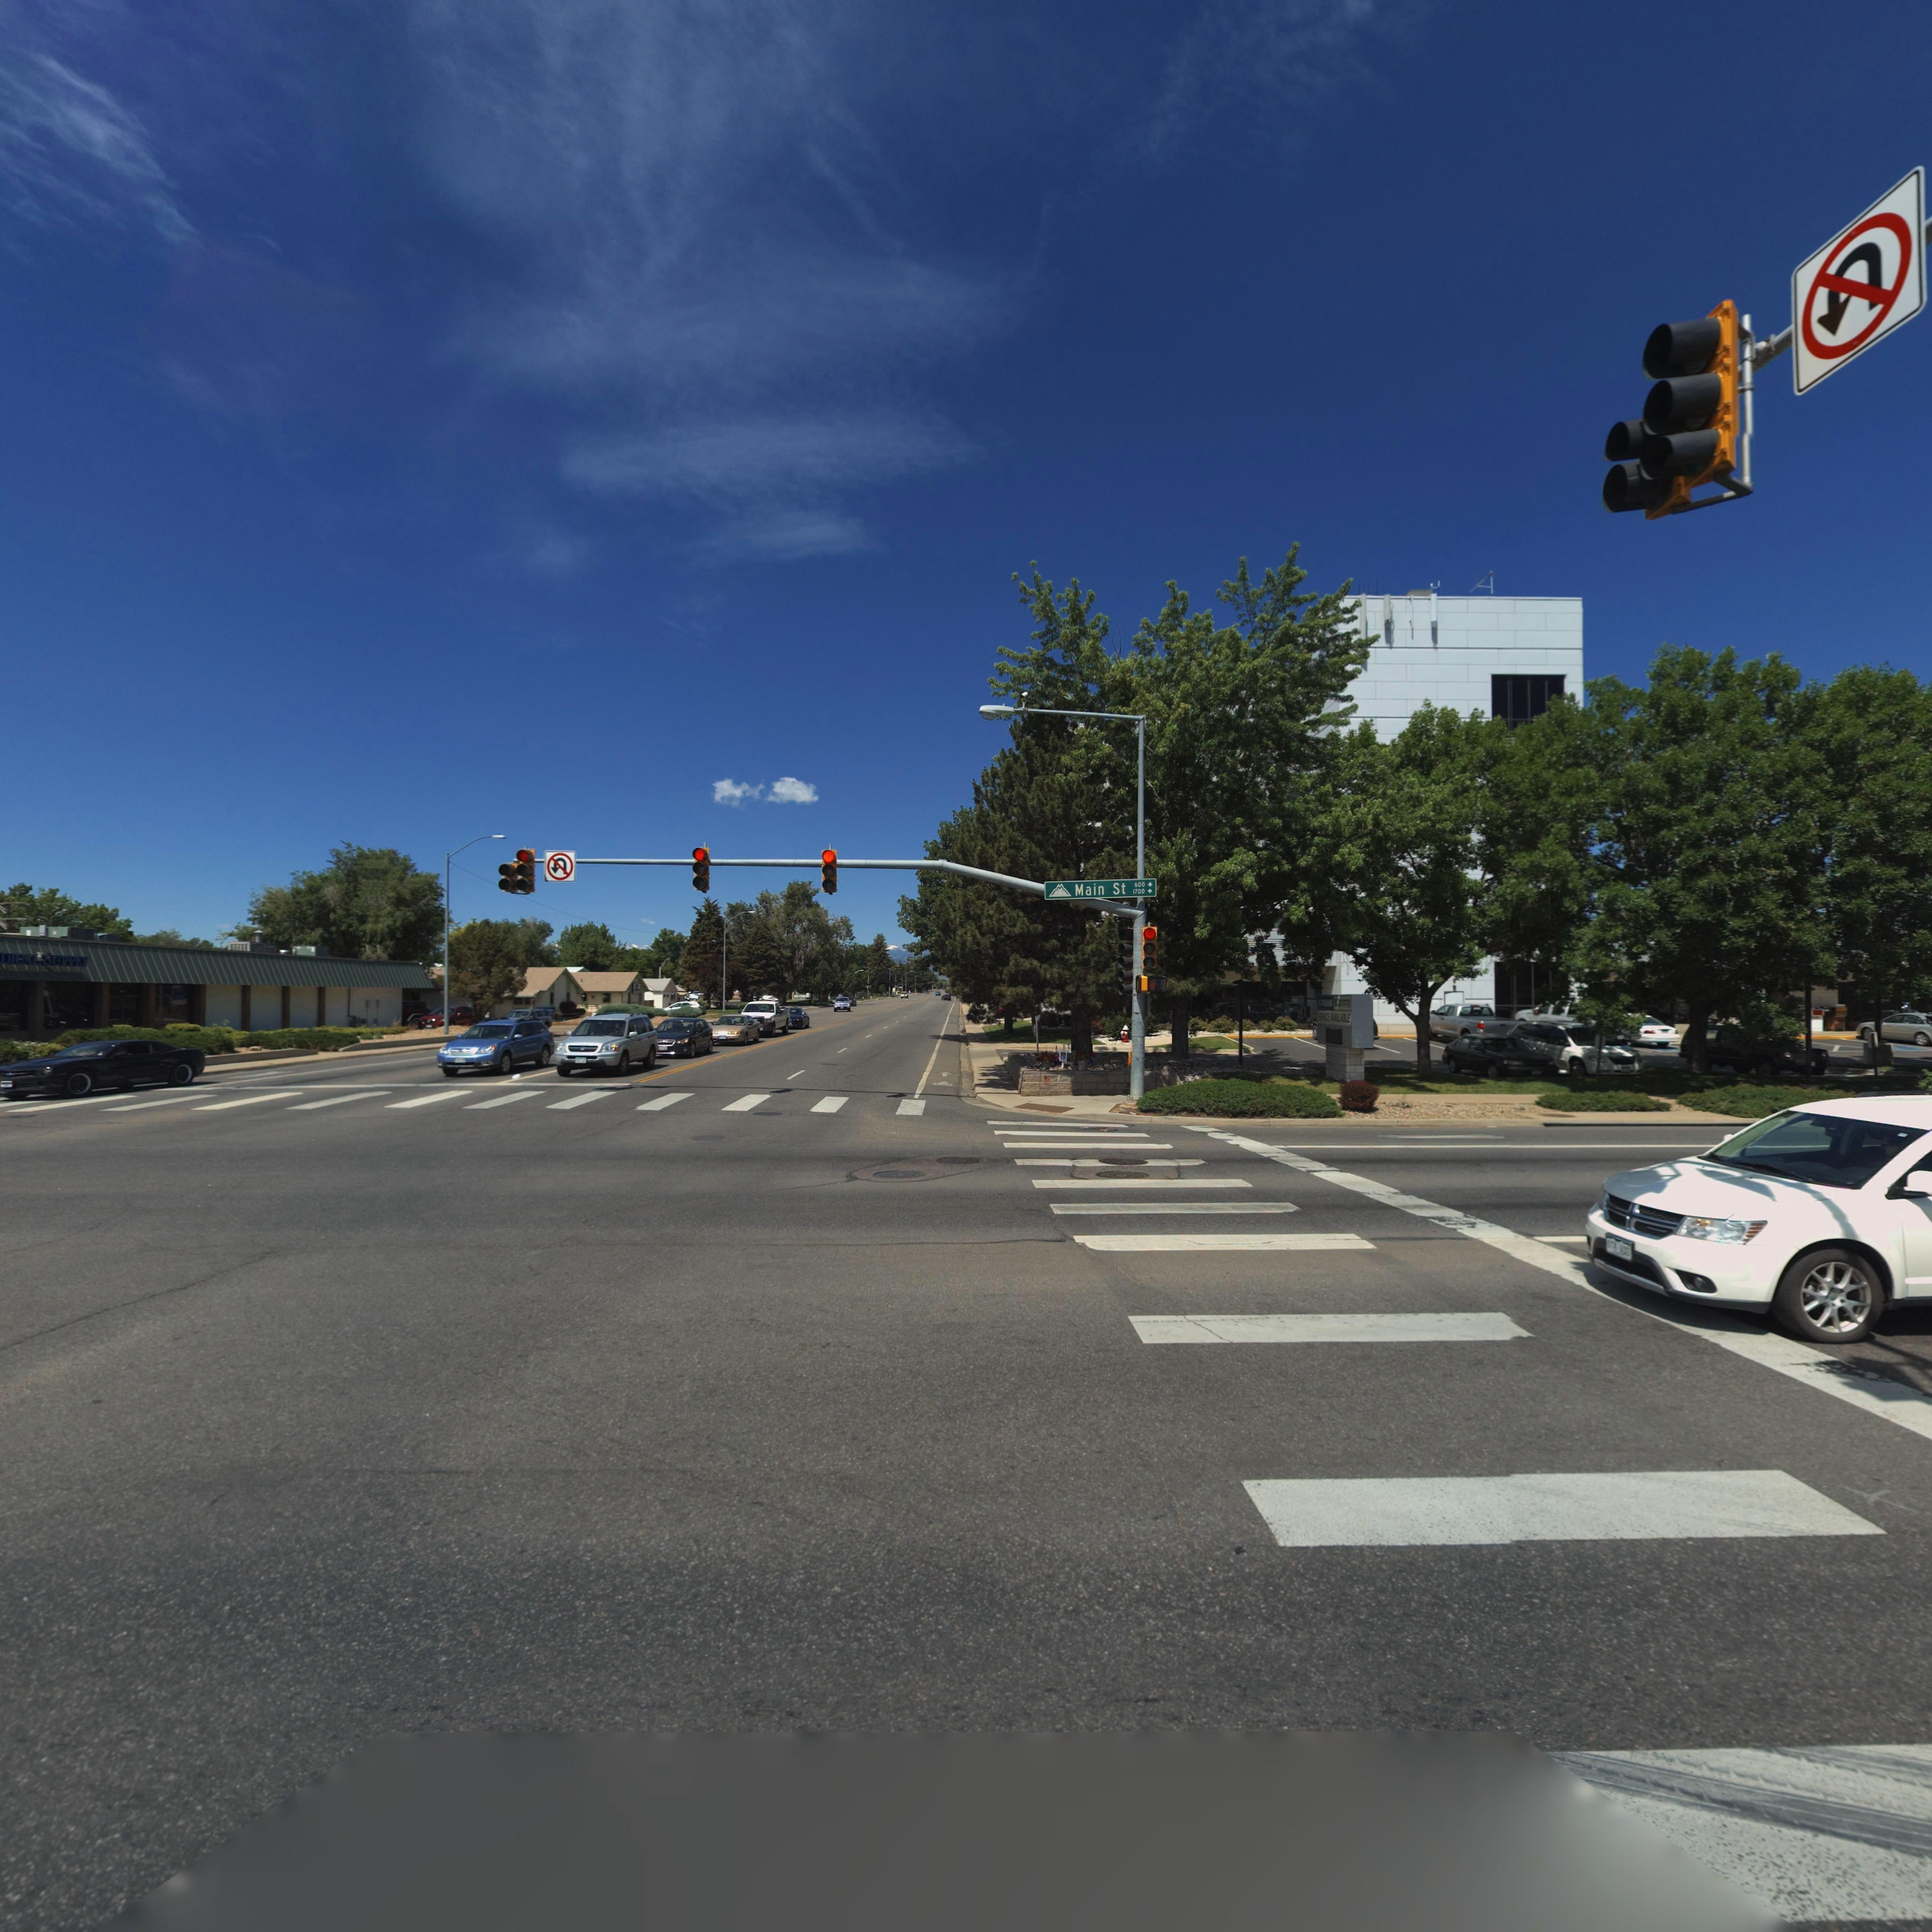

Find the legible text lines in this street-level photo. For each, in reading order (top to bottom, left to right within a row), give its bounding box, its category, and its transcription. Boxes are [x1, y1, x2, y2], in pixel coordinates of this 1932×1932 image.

[1134, 881, 1145, 888] StreetNumberRange: 600
[1075, 882, 1126, 896] StreetName: Main St
[1132, 888, 1153, 894] StreetNumberRange: 1700->
[1318, 999, 1333, 1006] BusinessName: *S*BA**